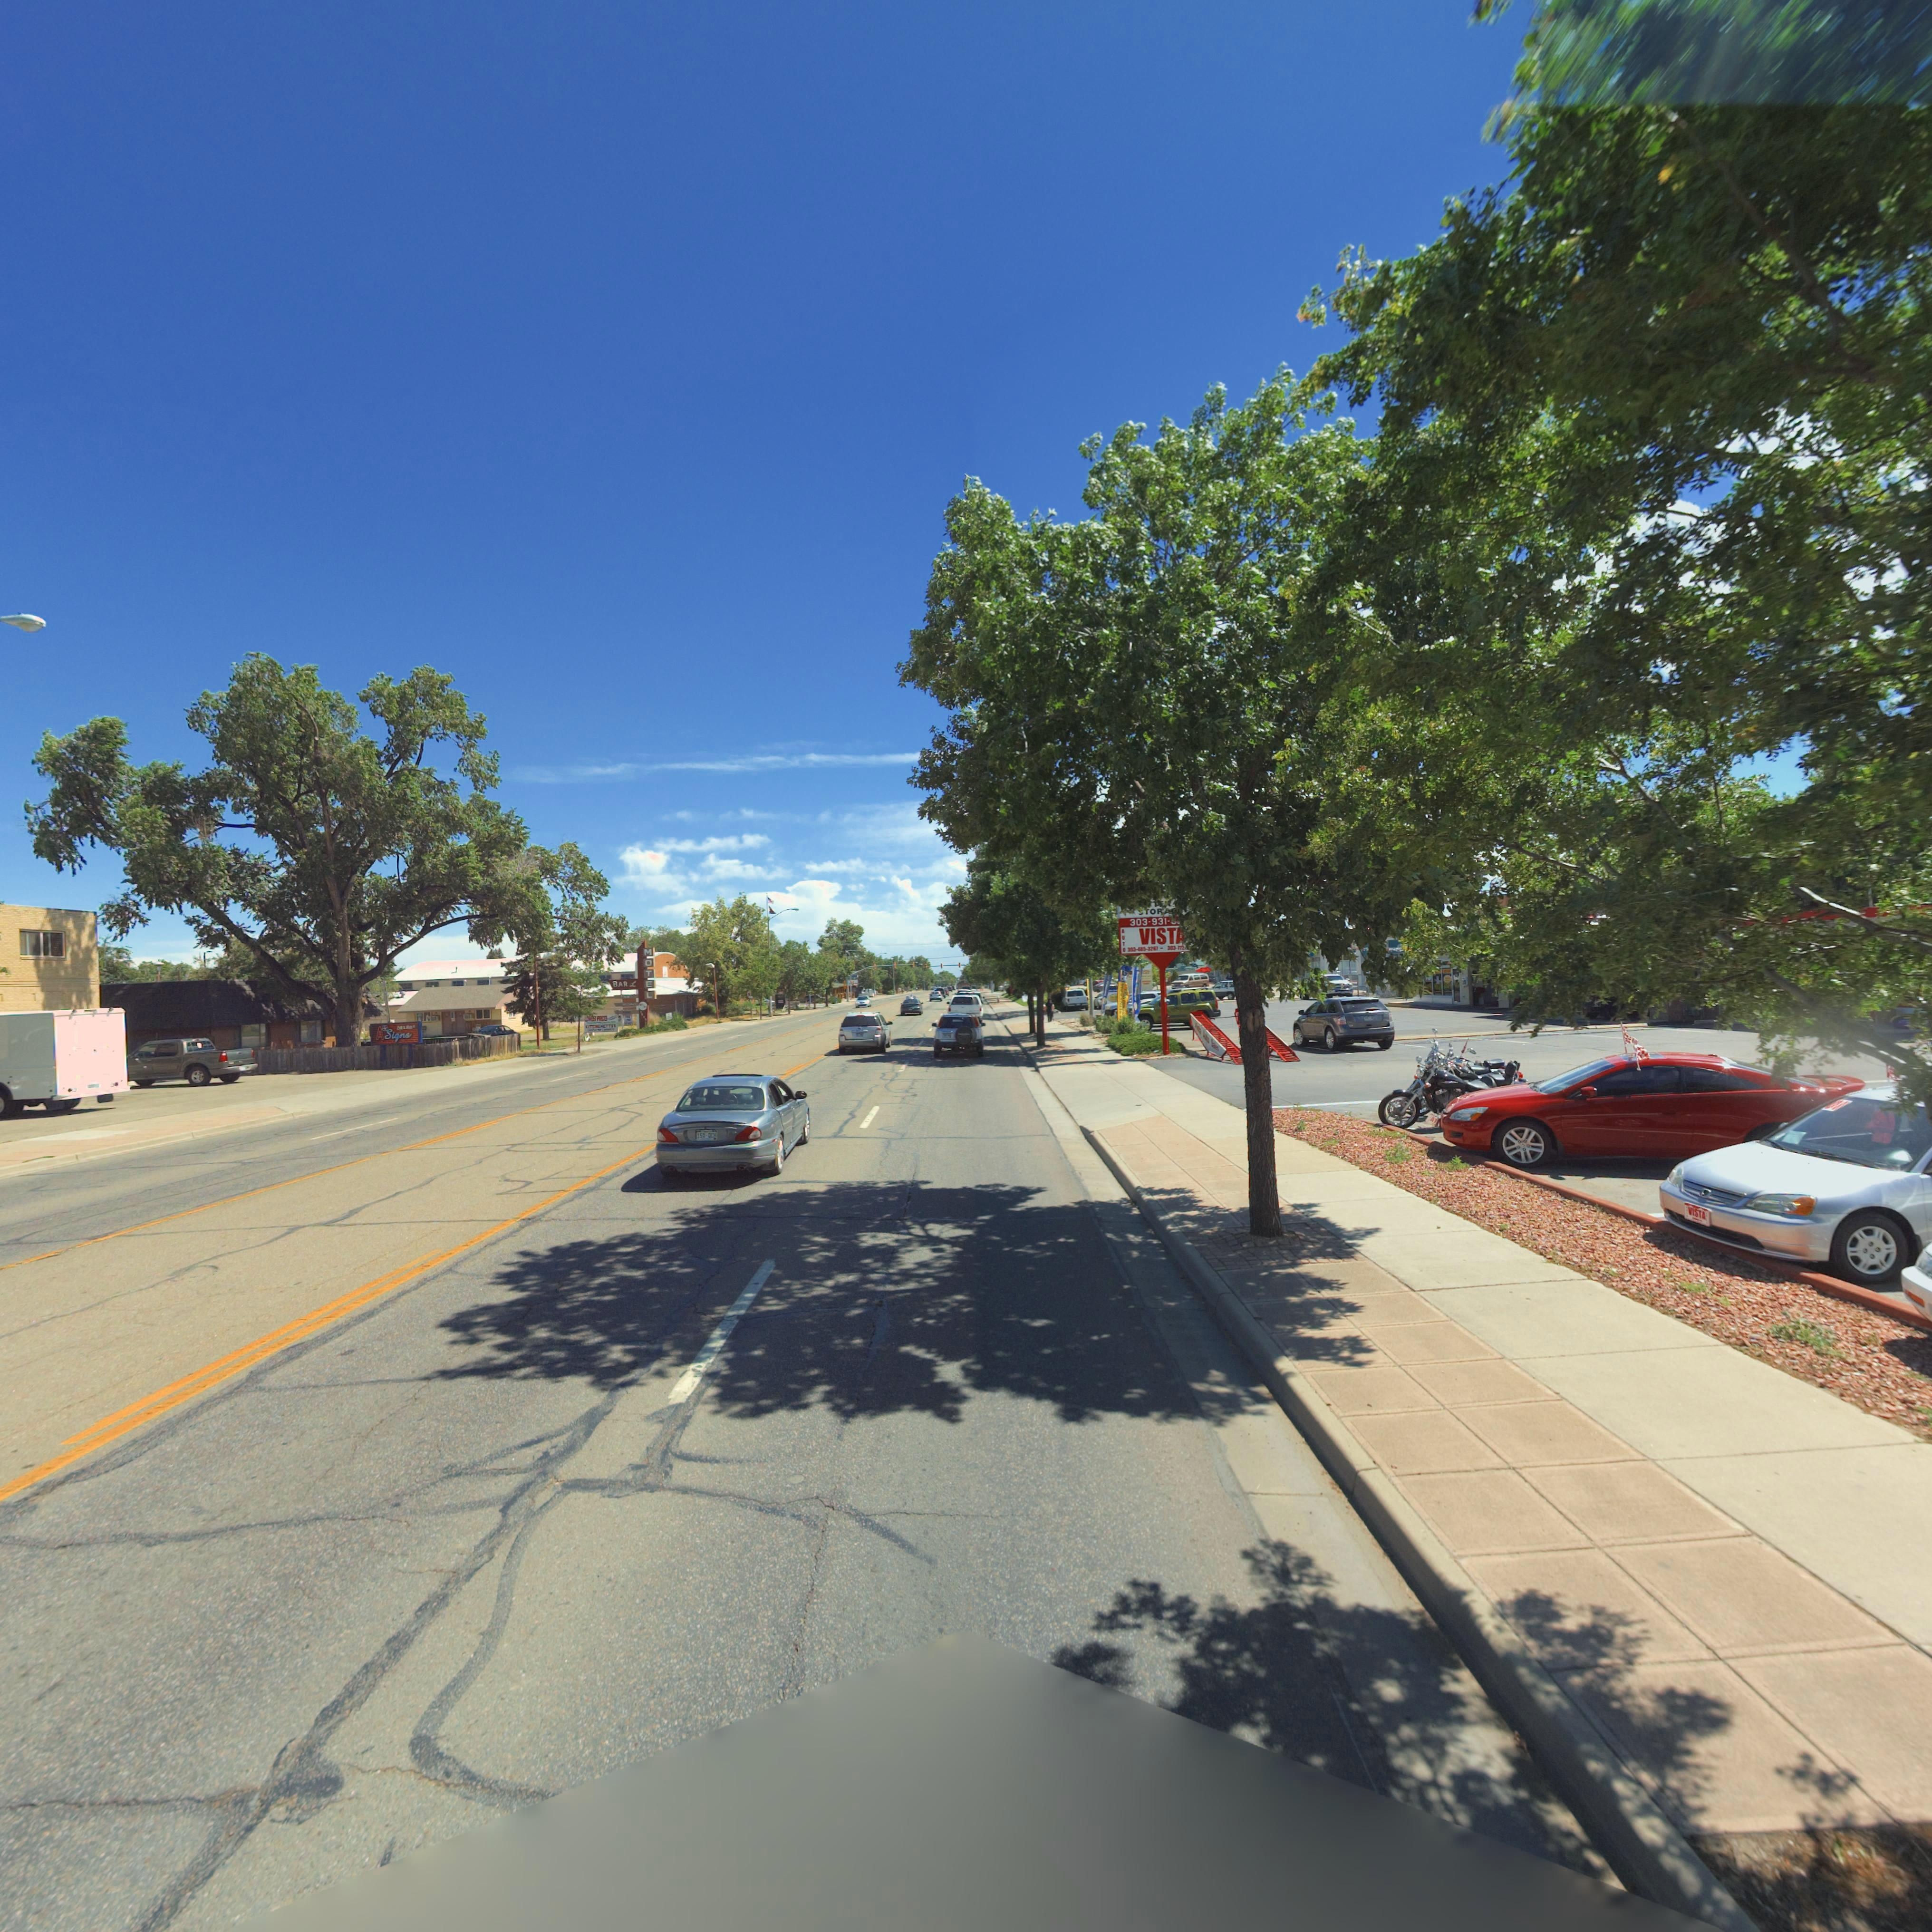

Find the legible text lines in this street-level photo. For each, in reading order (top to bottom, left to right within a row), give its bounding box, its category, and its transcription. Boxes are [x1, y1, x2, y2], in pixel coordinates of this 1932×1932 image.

[1144, 908, 1163, 915] BusinessName: TOR
[1121, 928, 1125, 952] BusinessName: AUTO
[1138, 927, 1186, 945] BusinessName: VIST*
[643, 948, 652, 998] BusinessName: MOTEL
[612, 980, 637, 987] BusinessName: Bar L
[375, 1026, 413, 1043] BusinessName: ASigns
[403, 1024, 415, 1029] StreetName: N. M*** **
[1195, 1022, 1218, 1052] BusinessName: V***a Au** S***s